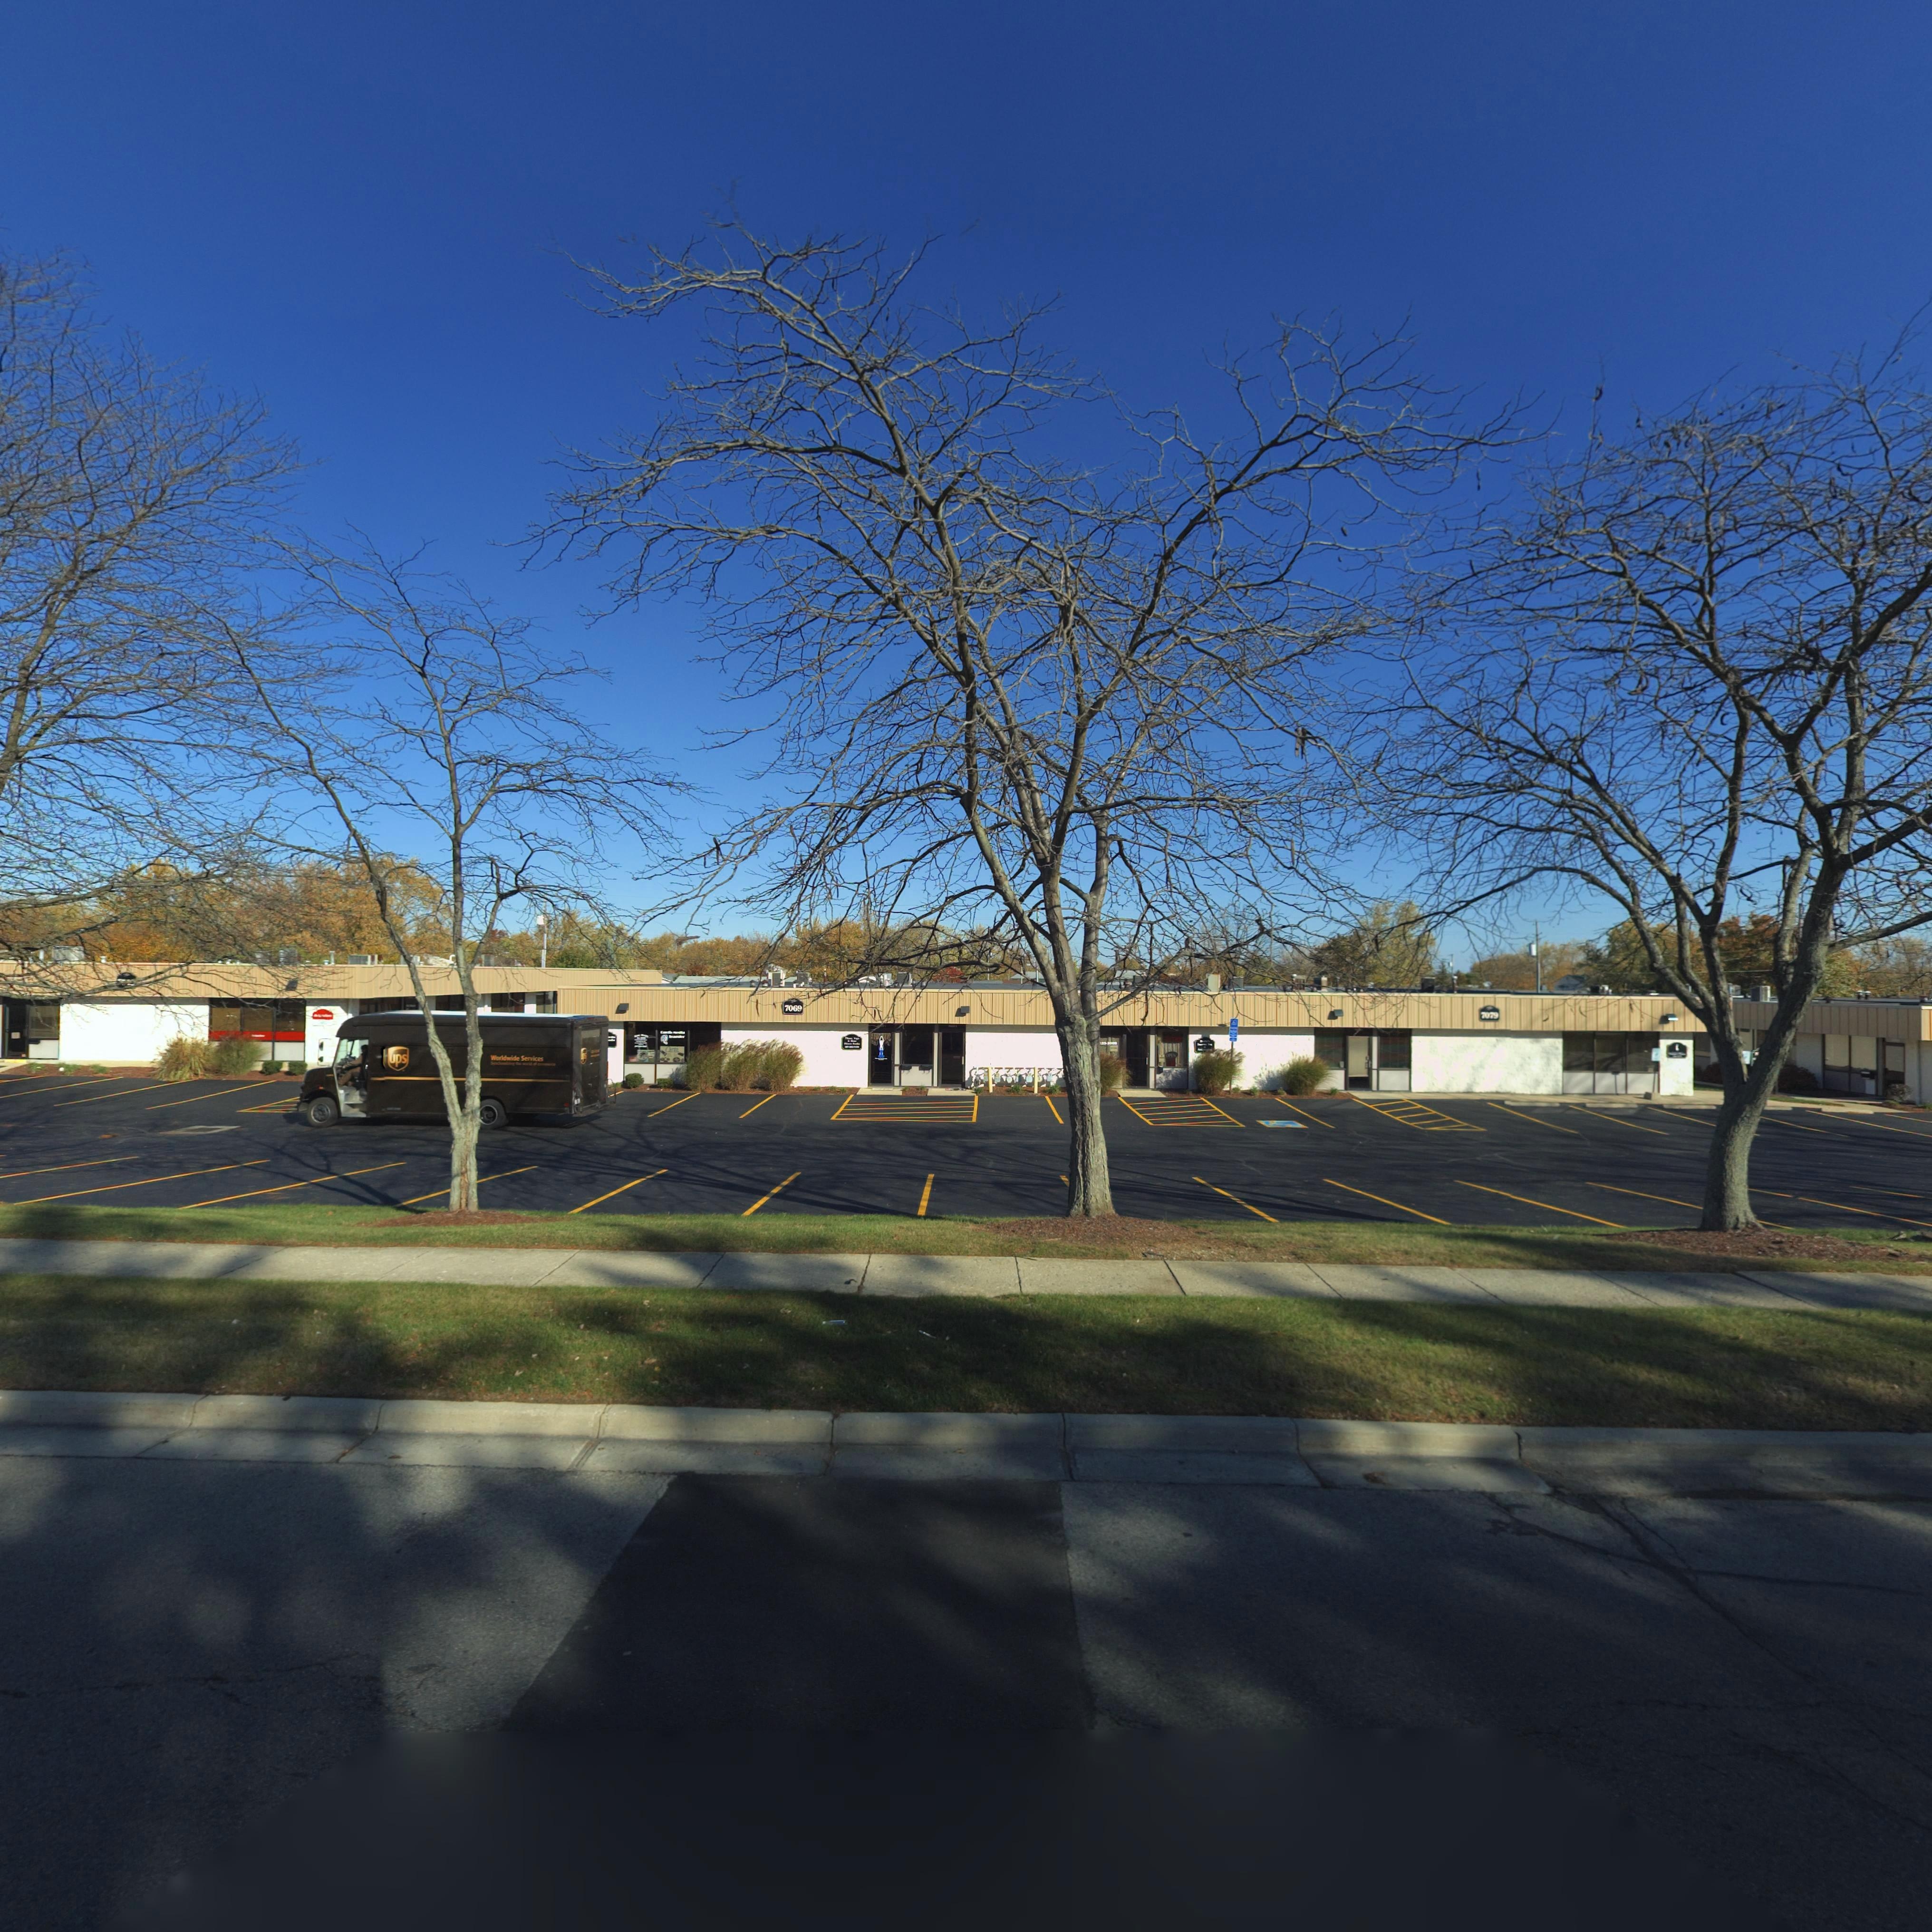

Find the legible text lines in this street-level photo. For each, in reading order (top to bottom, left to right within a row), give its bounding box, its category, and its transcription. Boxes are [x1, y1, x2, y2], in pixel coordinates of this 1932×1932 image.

[783, 1004, 803, 1013] StreetNumber: 7069
[1480, 1011, 1500, 1020] StreetNumber: 7079